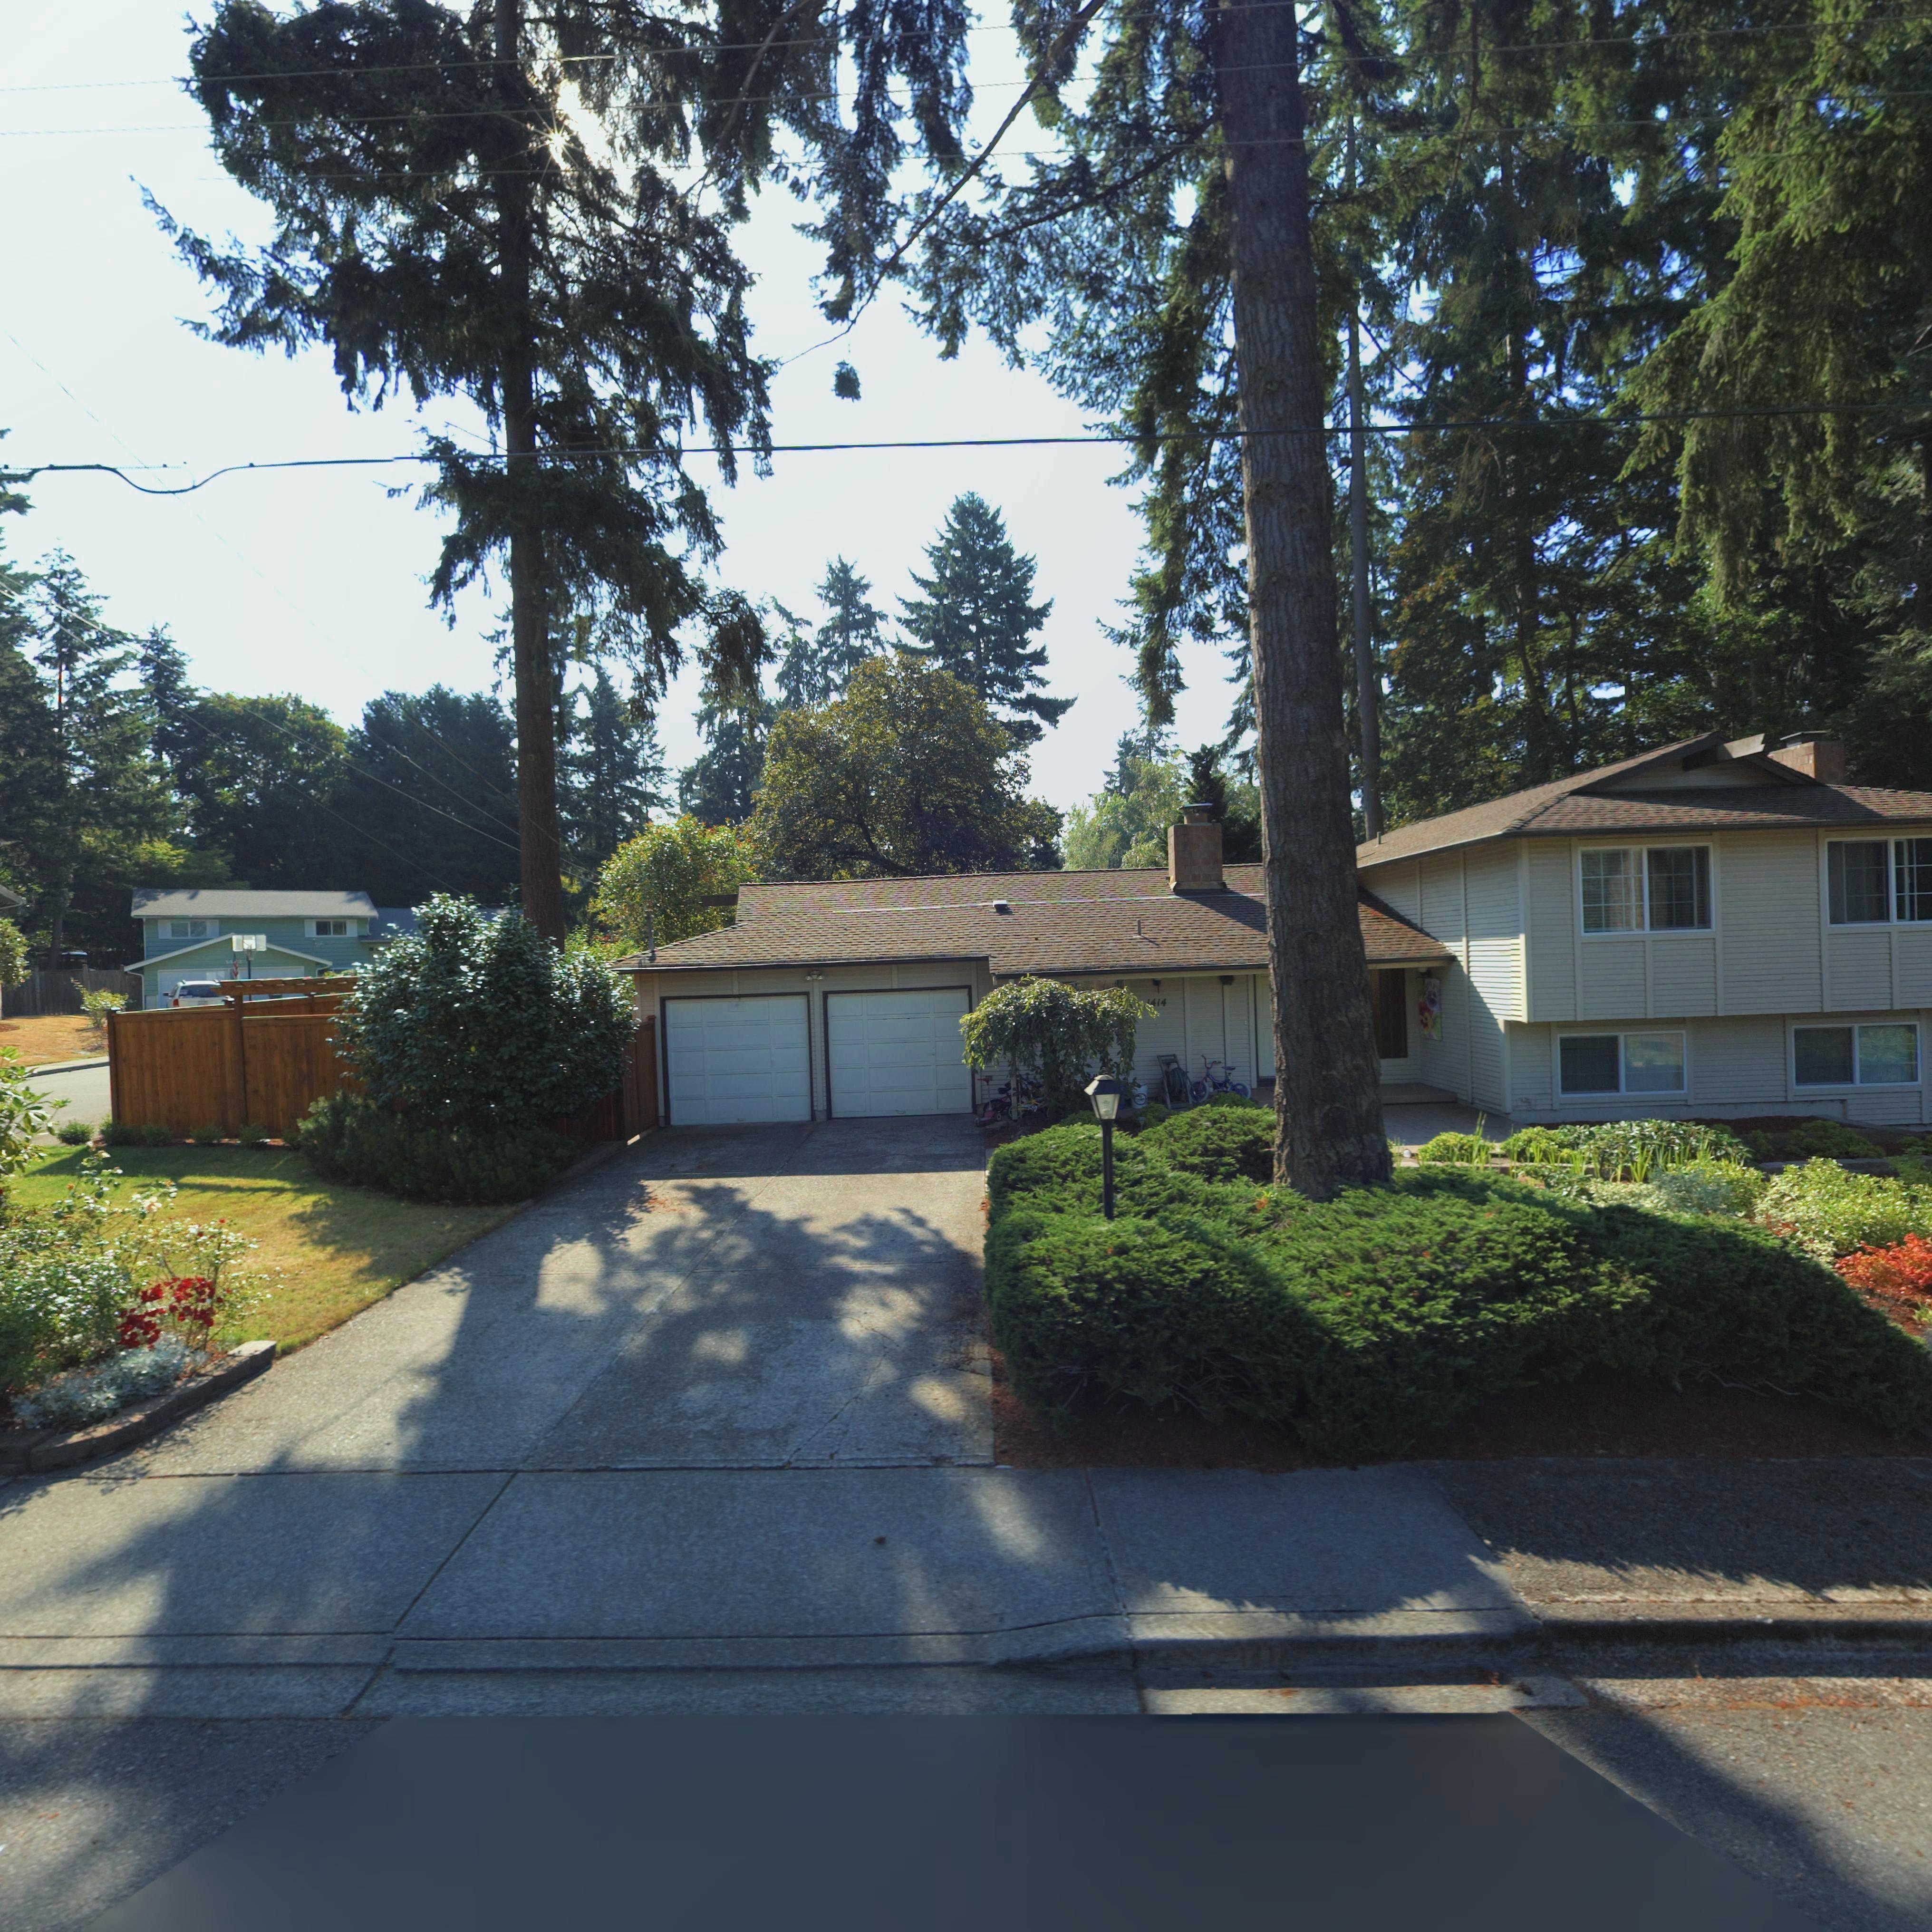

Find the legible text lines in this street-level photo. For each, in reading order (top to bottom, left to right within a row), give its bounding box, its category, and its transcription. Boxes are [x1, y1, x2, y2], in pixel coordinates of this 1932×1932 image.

[1156, 998, 1167, 1006] StreetNumber: 14